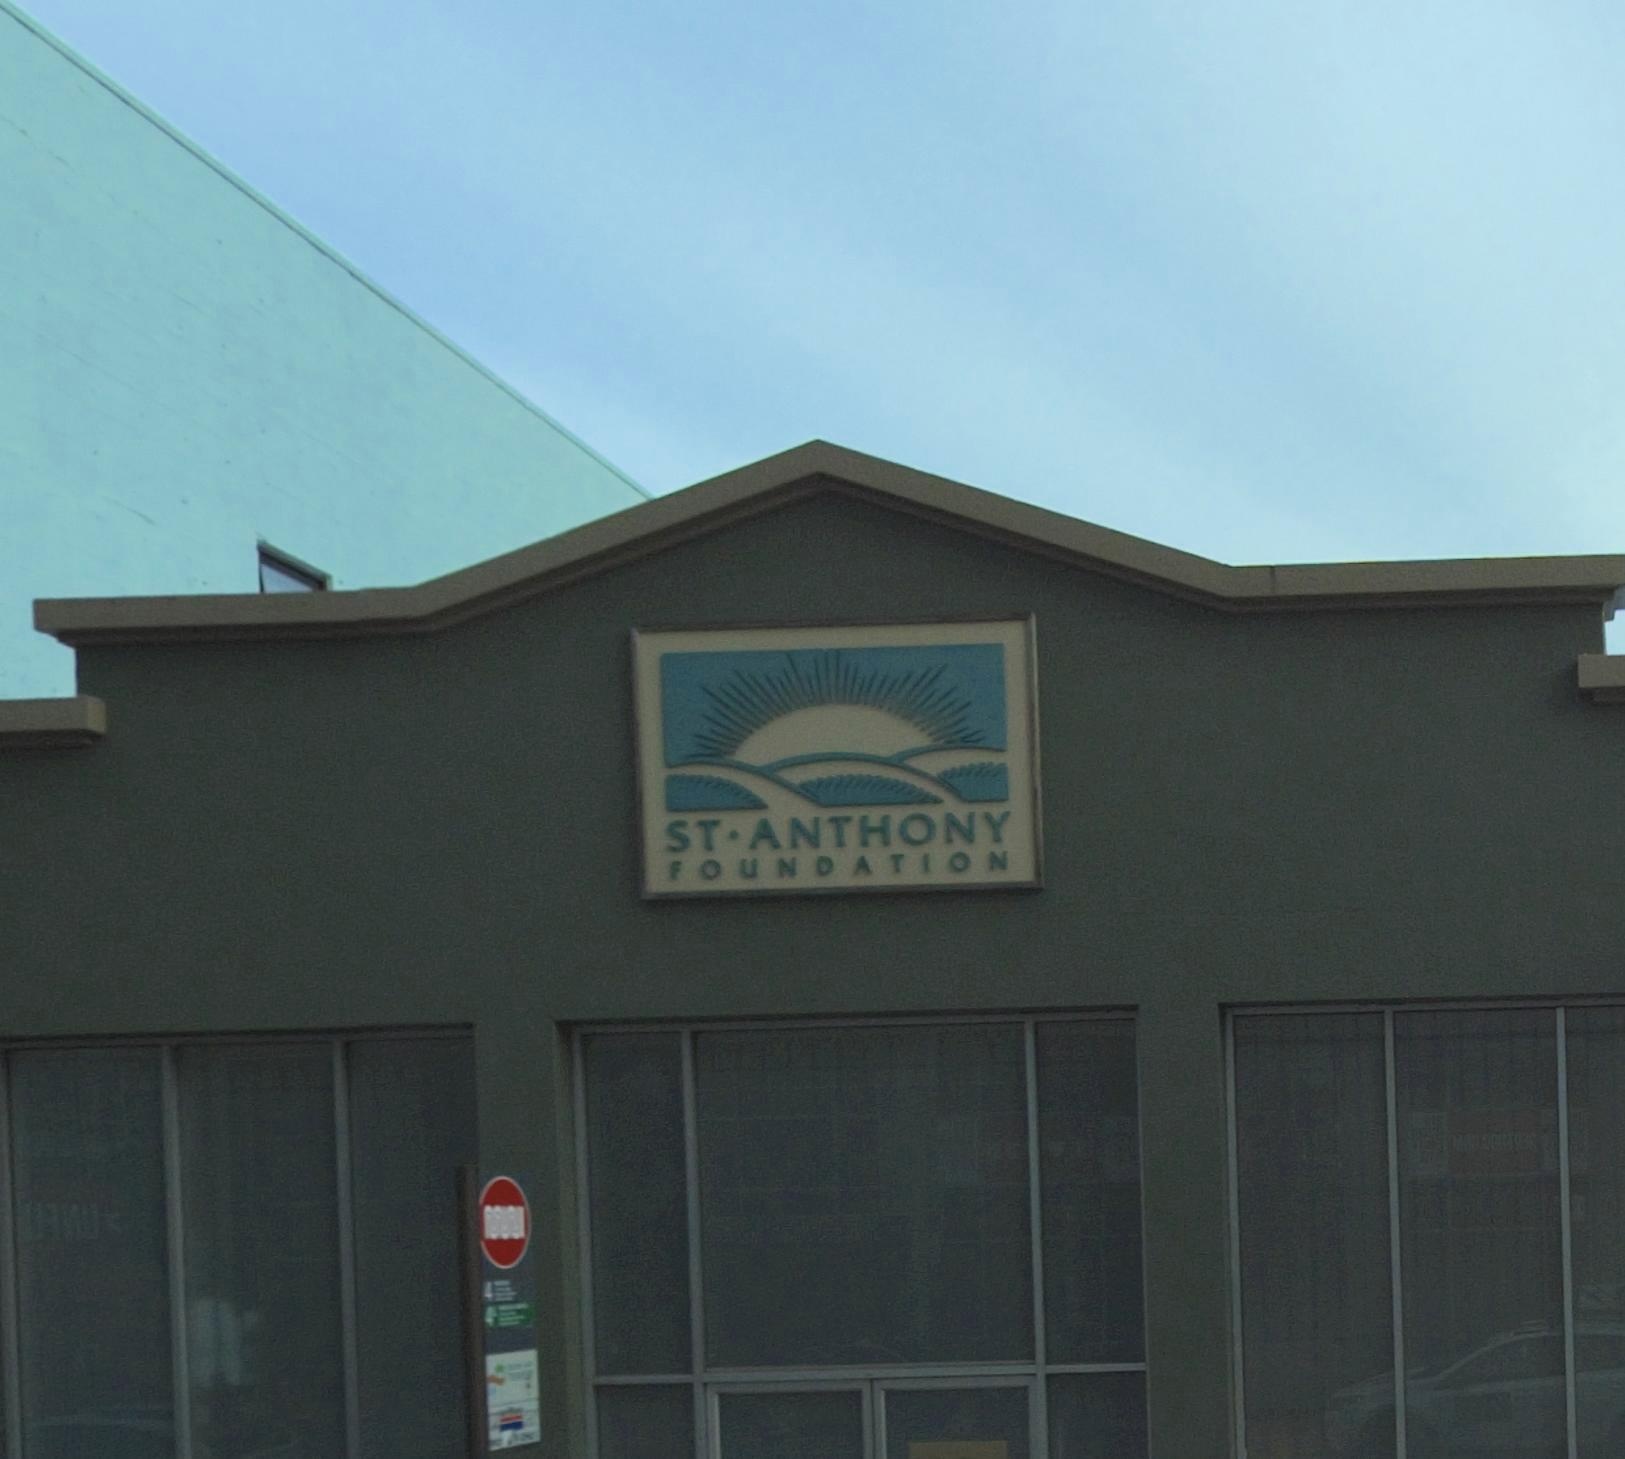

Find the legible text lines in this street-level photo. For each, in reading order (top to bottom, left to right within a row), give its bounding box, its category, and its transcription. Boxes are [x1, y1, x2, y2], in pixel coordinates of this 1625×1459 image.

[658, 806, 1019, 858] BusinessName: ST * ANTHONY
[666, 846, 1013, 886] BusinessName: FOUNDATION
[480, 1277, 495, 1304] None: 4
[481, 1304, 496, 1329] None: 4